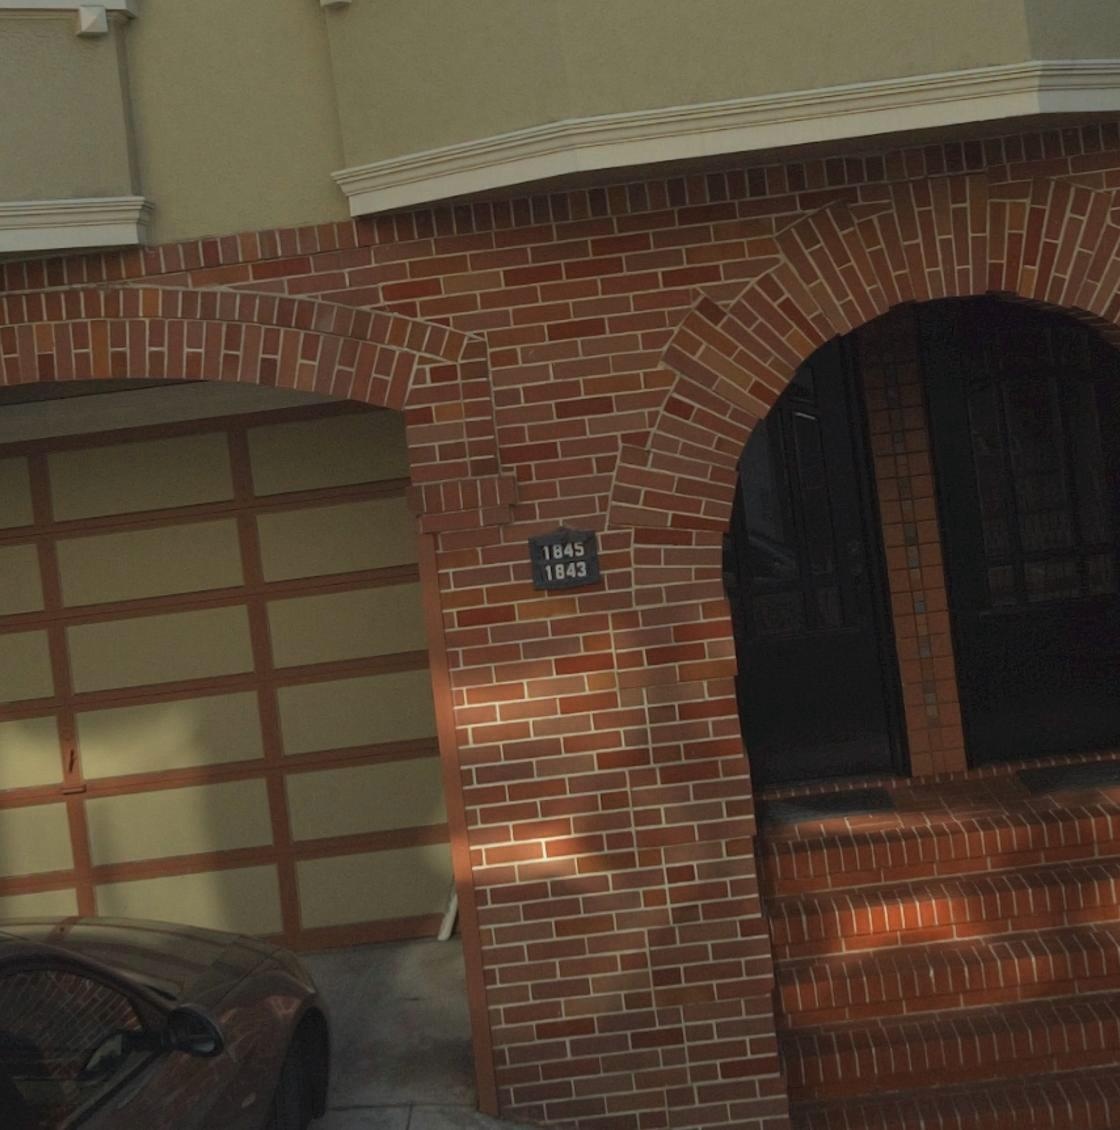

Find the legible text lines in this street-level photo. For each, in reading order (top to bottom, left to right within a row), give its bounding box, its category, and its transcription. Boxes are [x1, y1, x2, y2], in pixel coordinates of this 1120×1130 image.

[541, 537, 586, 563] StreetNumber: 1845
[543, 558, 589, 584] StreetNumber: 1843